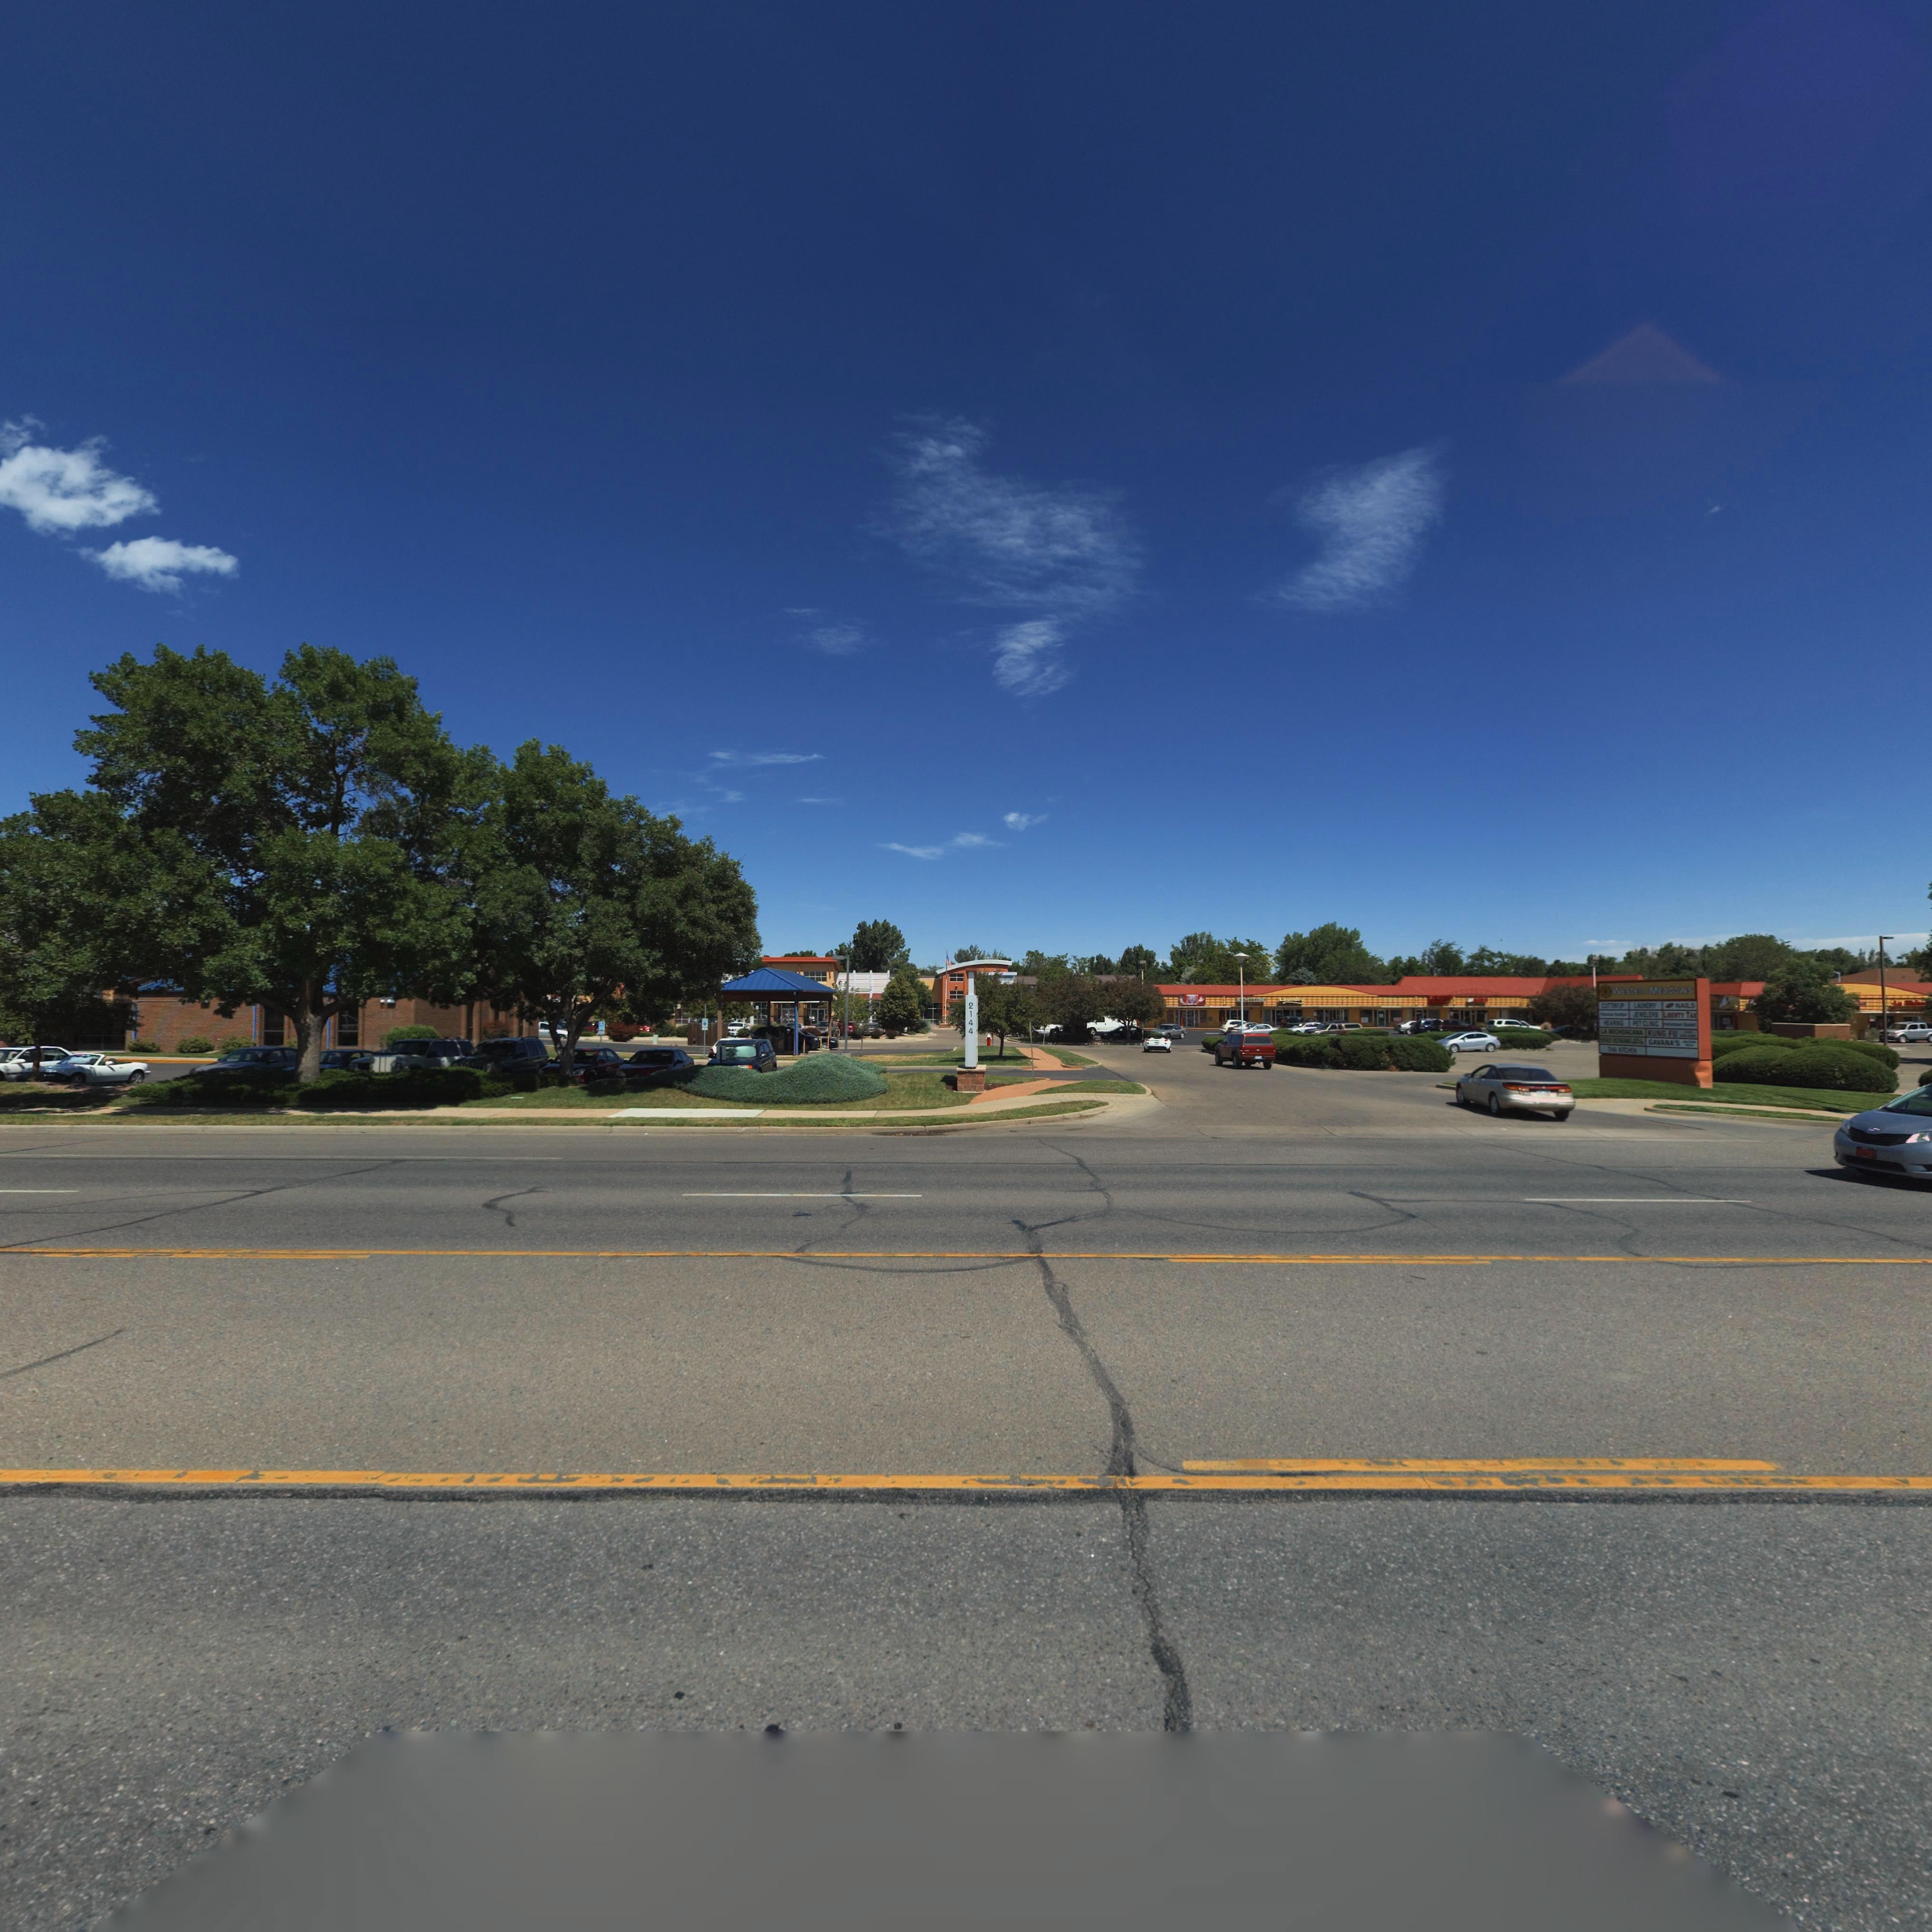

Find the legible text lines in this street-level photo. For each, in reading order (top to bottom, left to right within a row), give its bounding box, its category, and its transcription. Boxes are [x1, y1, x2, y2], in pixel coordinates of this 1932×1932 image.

[1662, 1011, 1697, 1018] BusinessName: LIBERTY TAX
[968, 1002, 975, 1036] StreetNumber: 2144
[1599, 1028, 1643, 1036] BusinessName: LA MICHOACANA
[1648, 1039, 1681, 1047] BusinessName: GAVANA'S
[1606, 1046, 1637, 1053] BusinessName: TH** KITCHEN